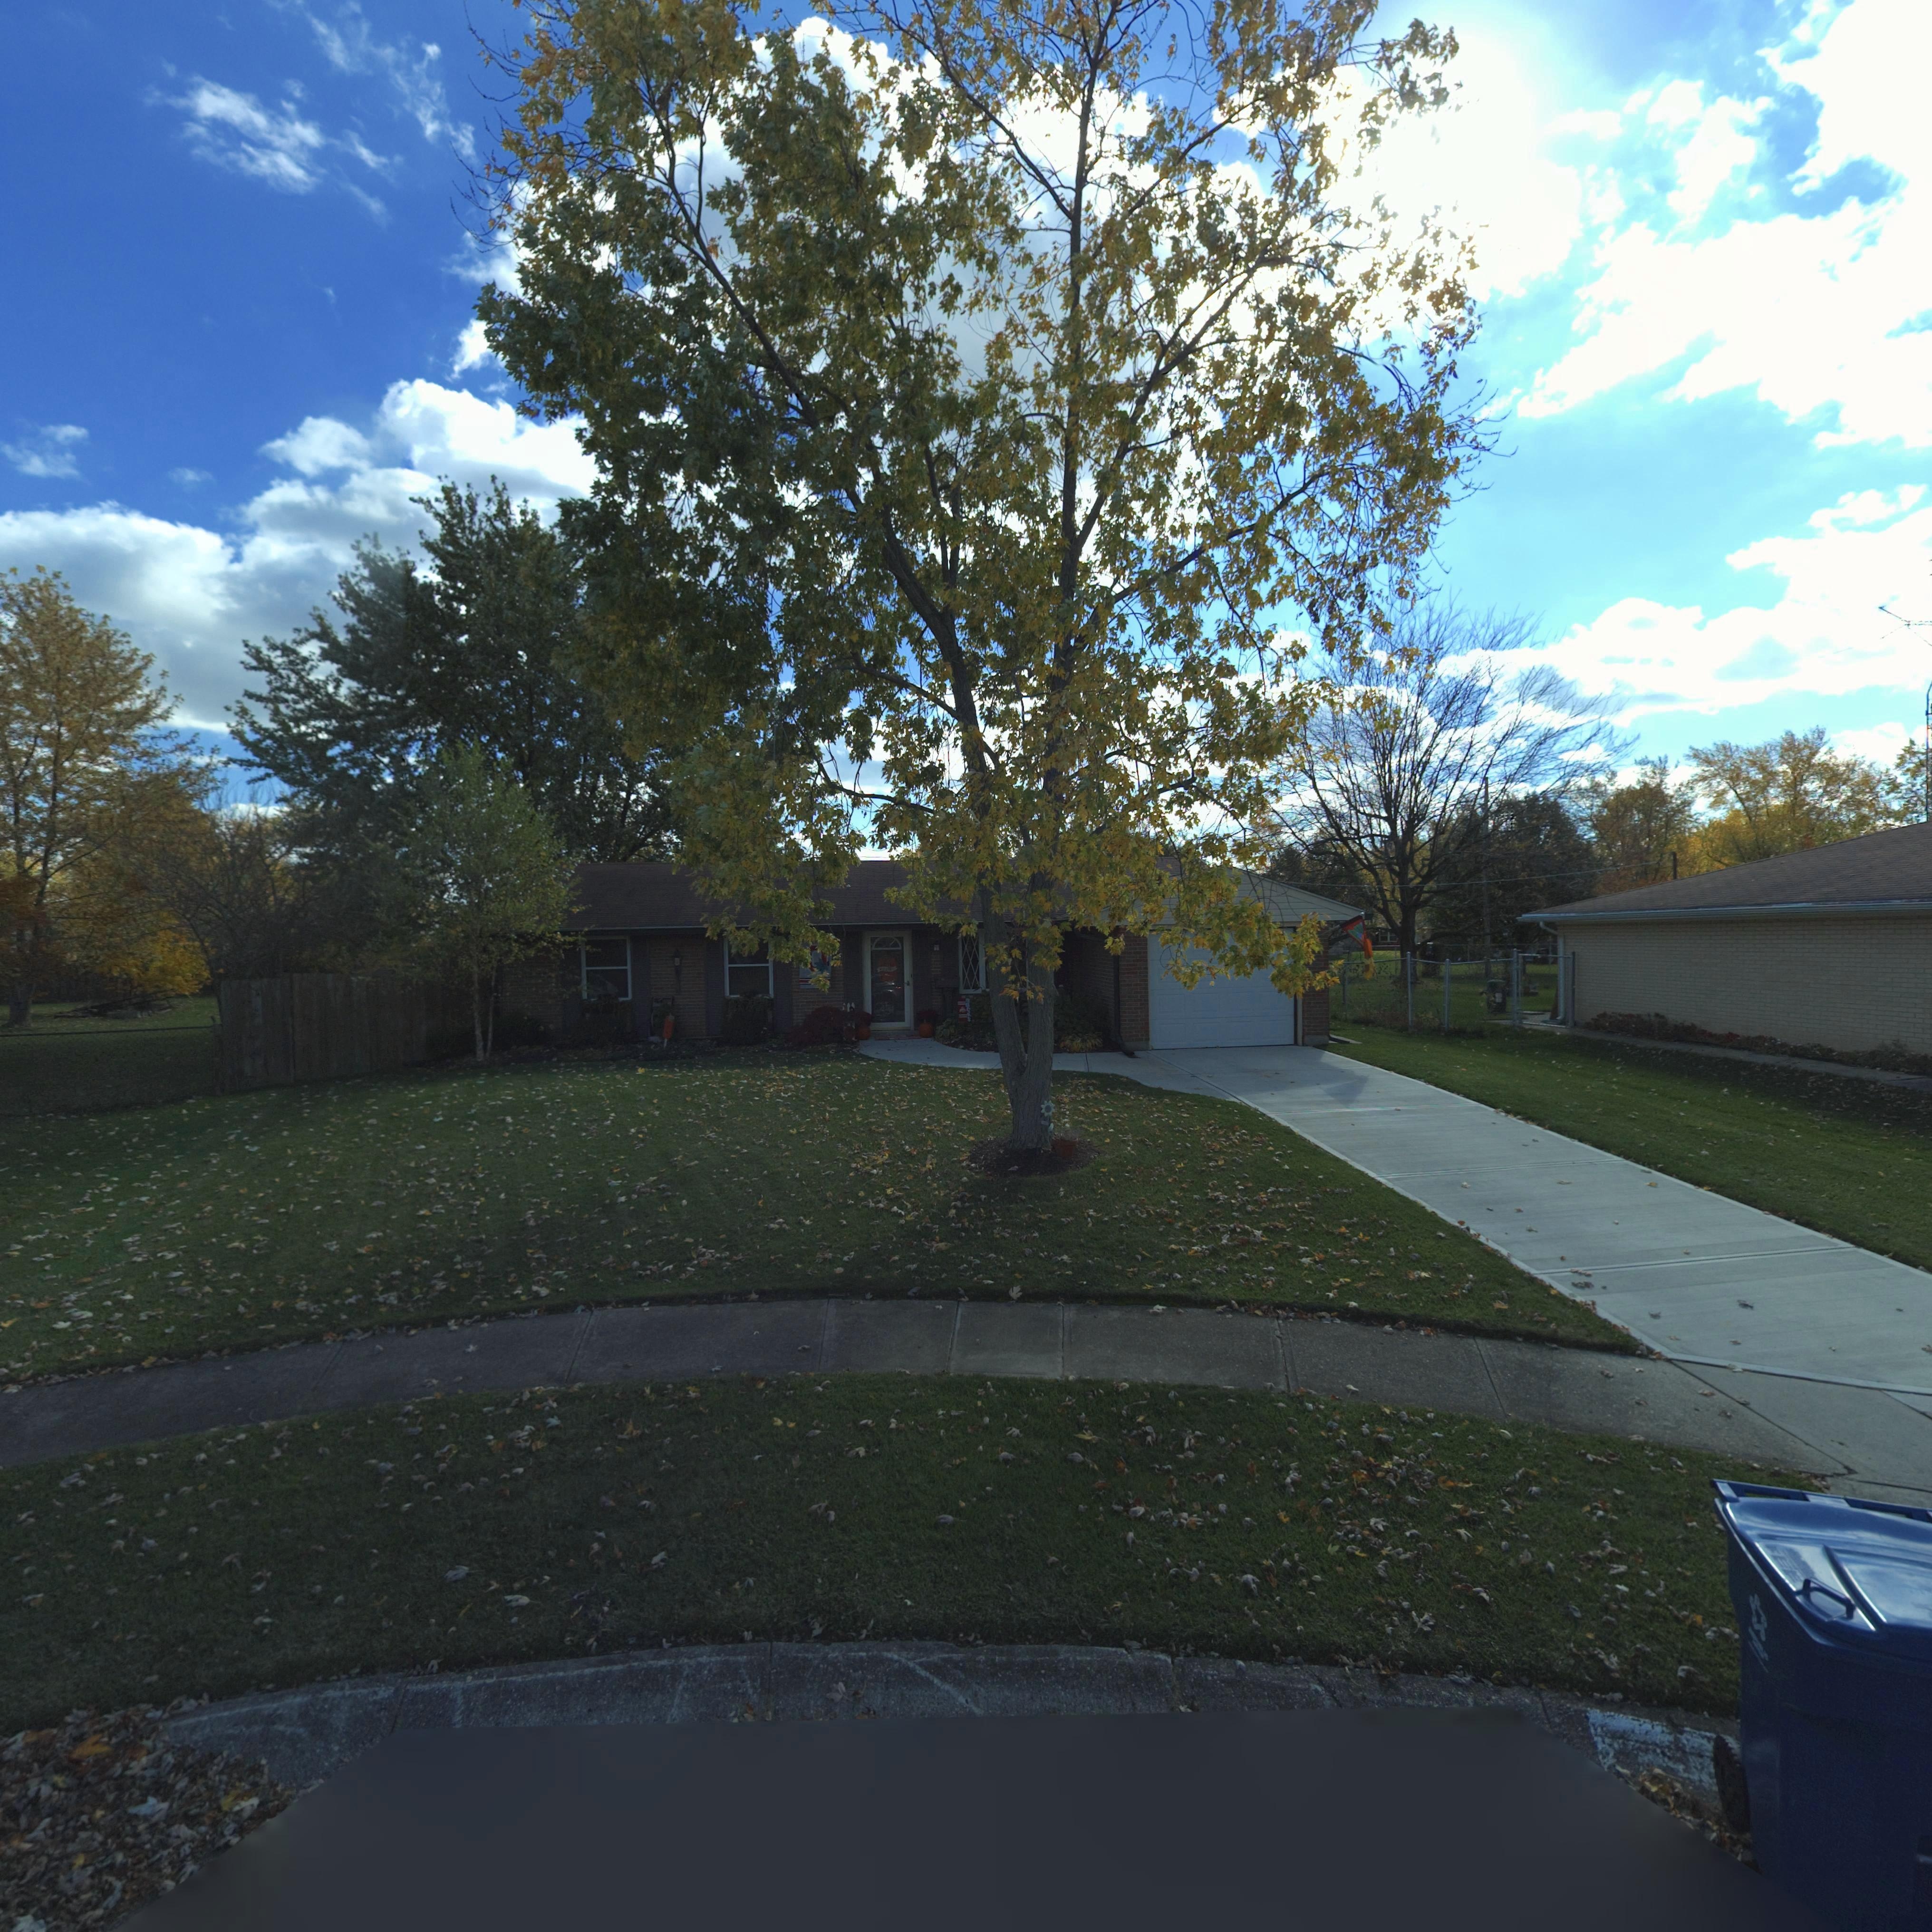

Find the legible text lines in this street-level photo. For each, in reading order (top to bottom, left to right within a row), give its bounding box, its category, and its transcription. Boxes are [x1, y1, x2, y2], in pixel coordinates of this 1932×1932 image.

[1669, 1729, 1699, 1778] StreetNumber: 4